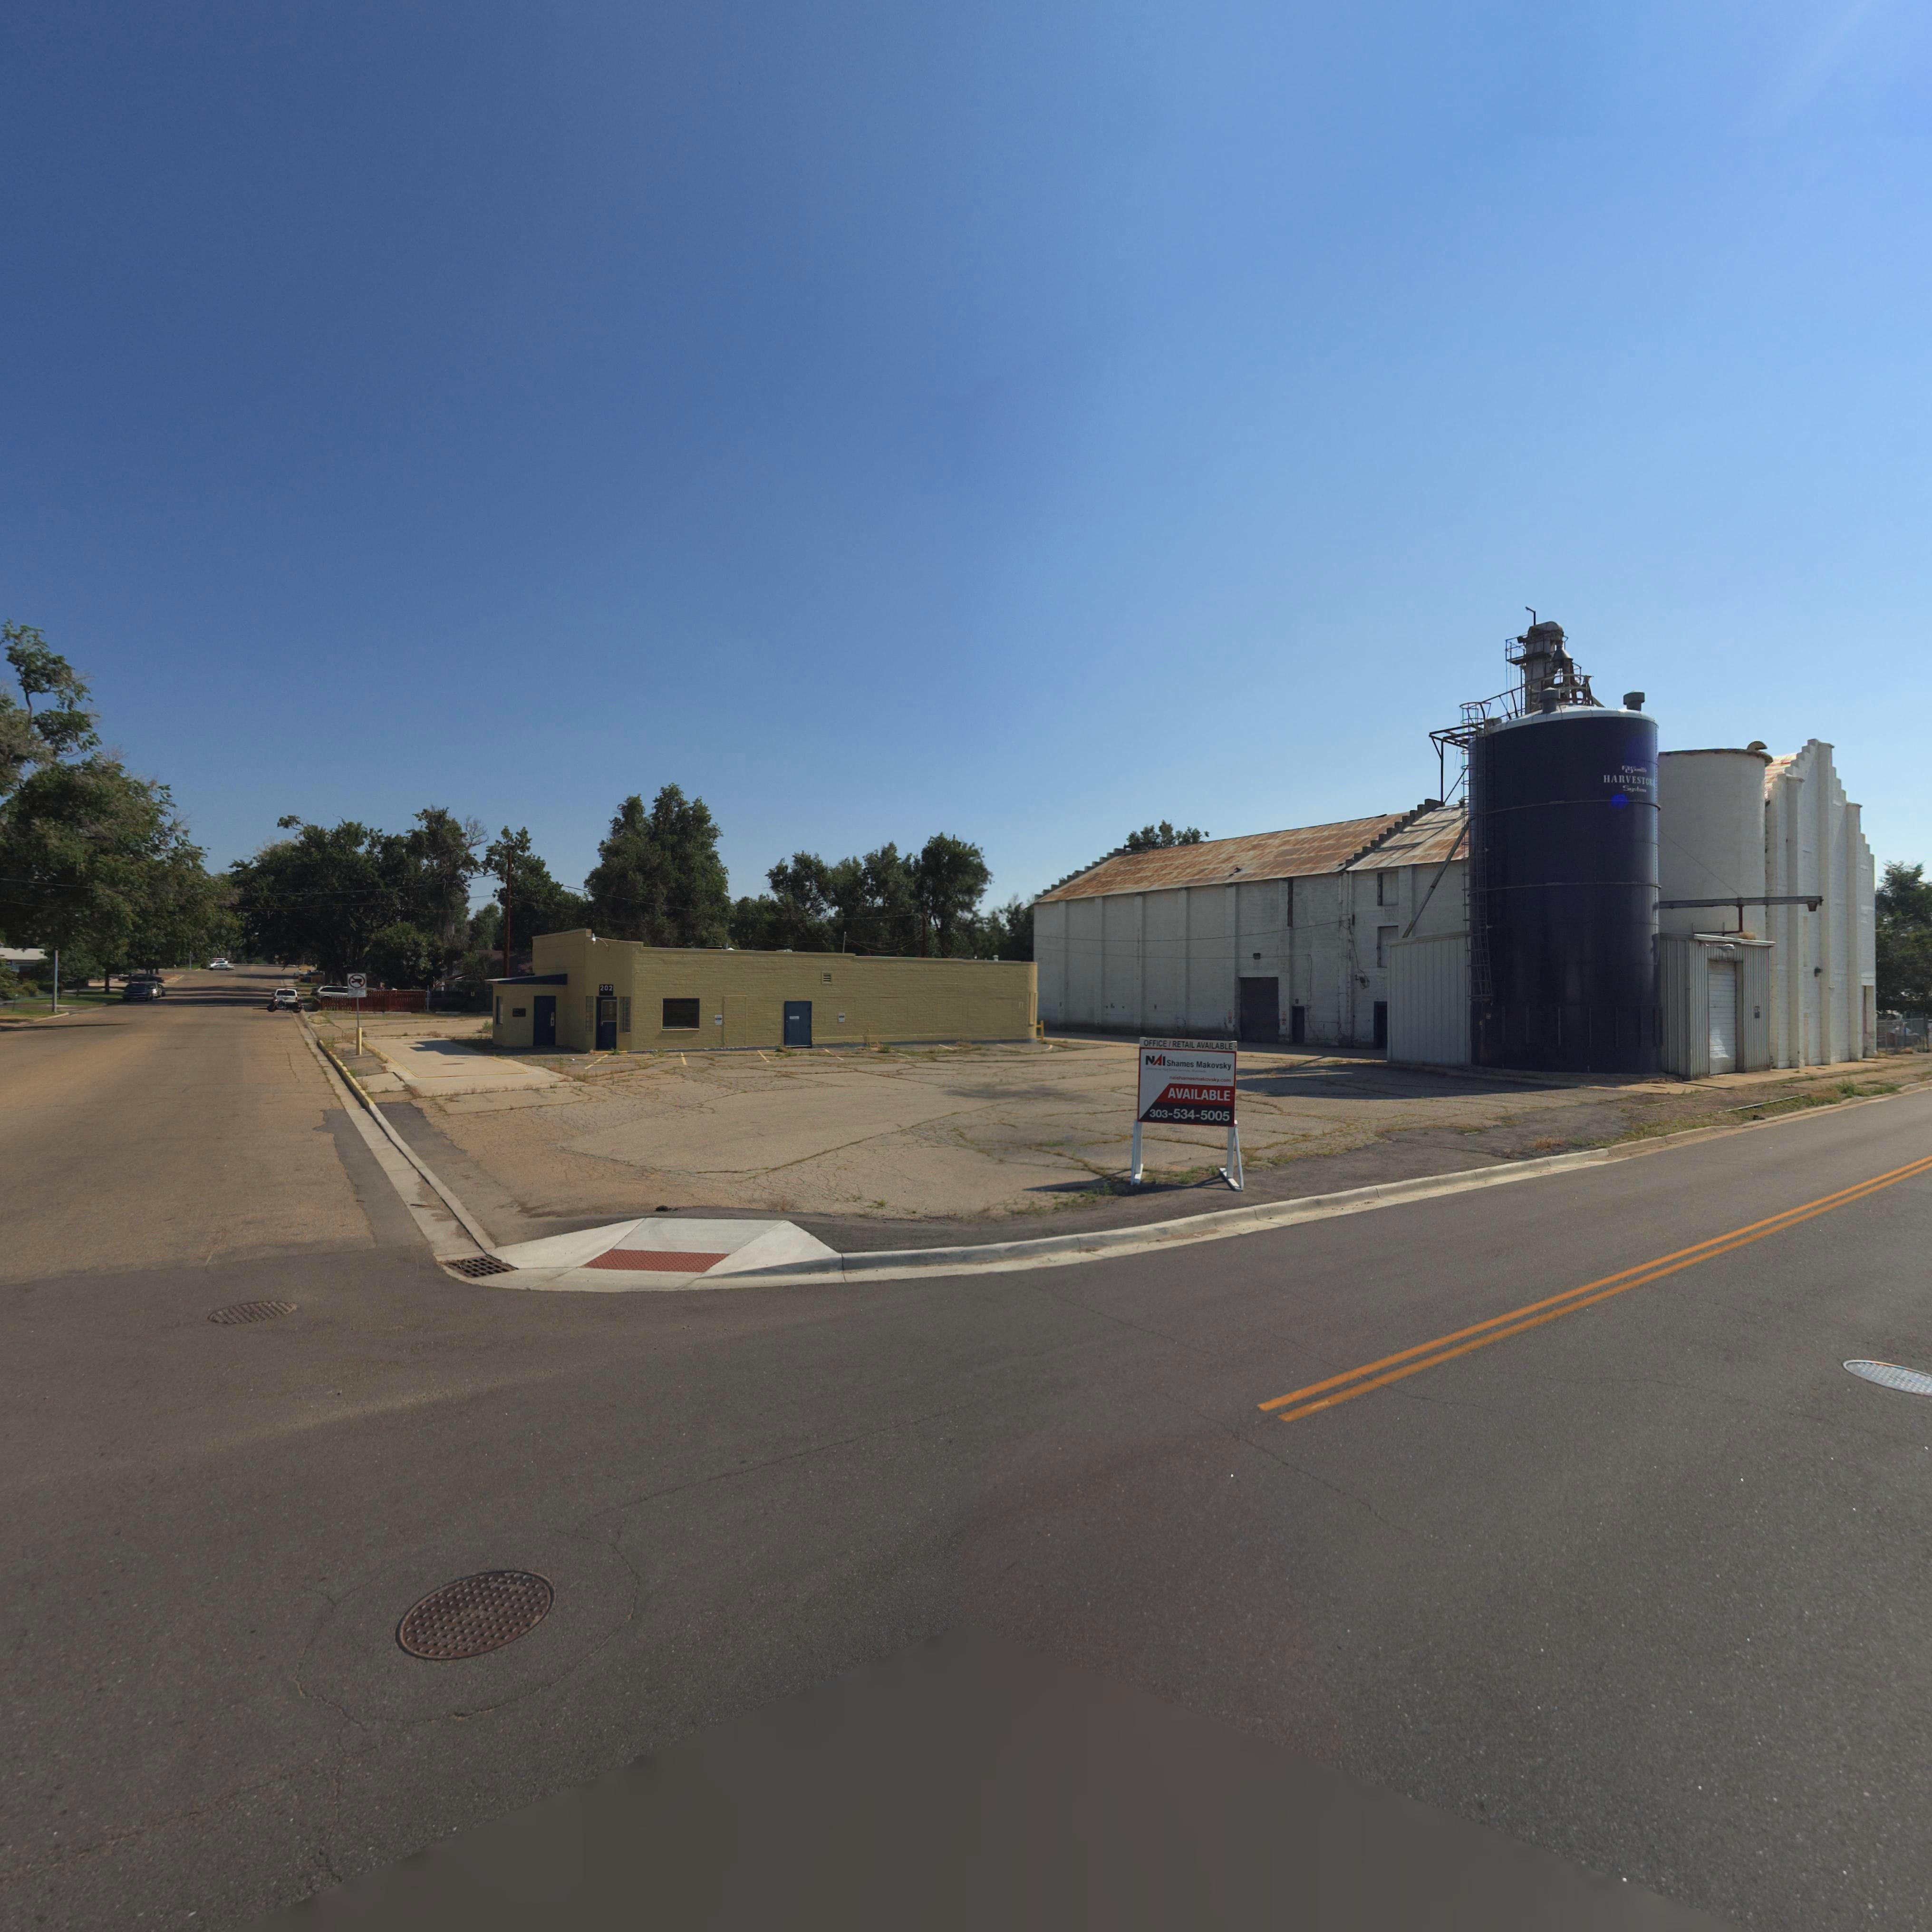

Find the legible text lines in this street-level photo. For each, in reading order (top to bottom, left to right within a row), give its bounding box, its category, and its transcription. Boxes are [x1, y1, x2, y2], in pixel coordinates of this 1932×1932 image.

[1621, 765, 1647, 774] StreetNumber: *m***
[599, 985, 612, 991] StreetNumber: 202